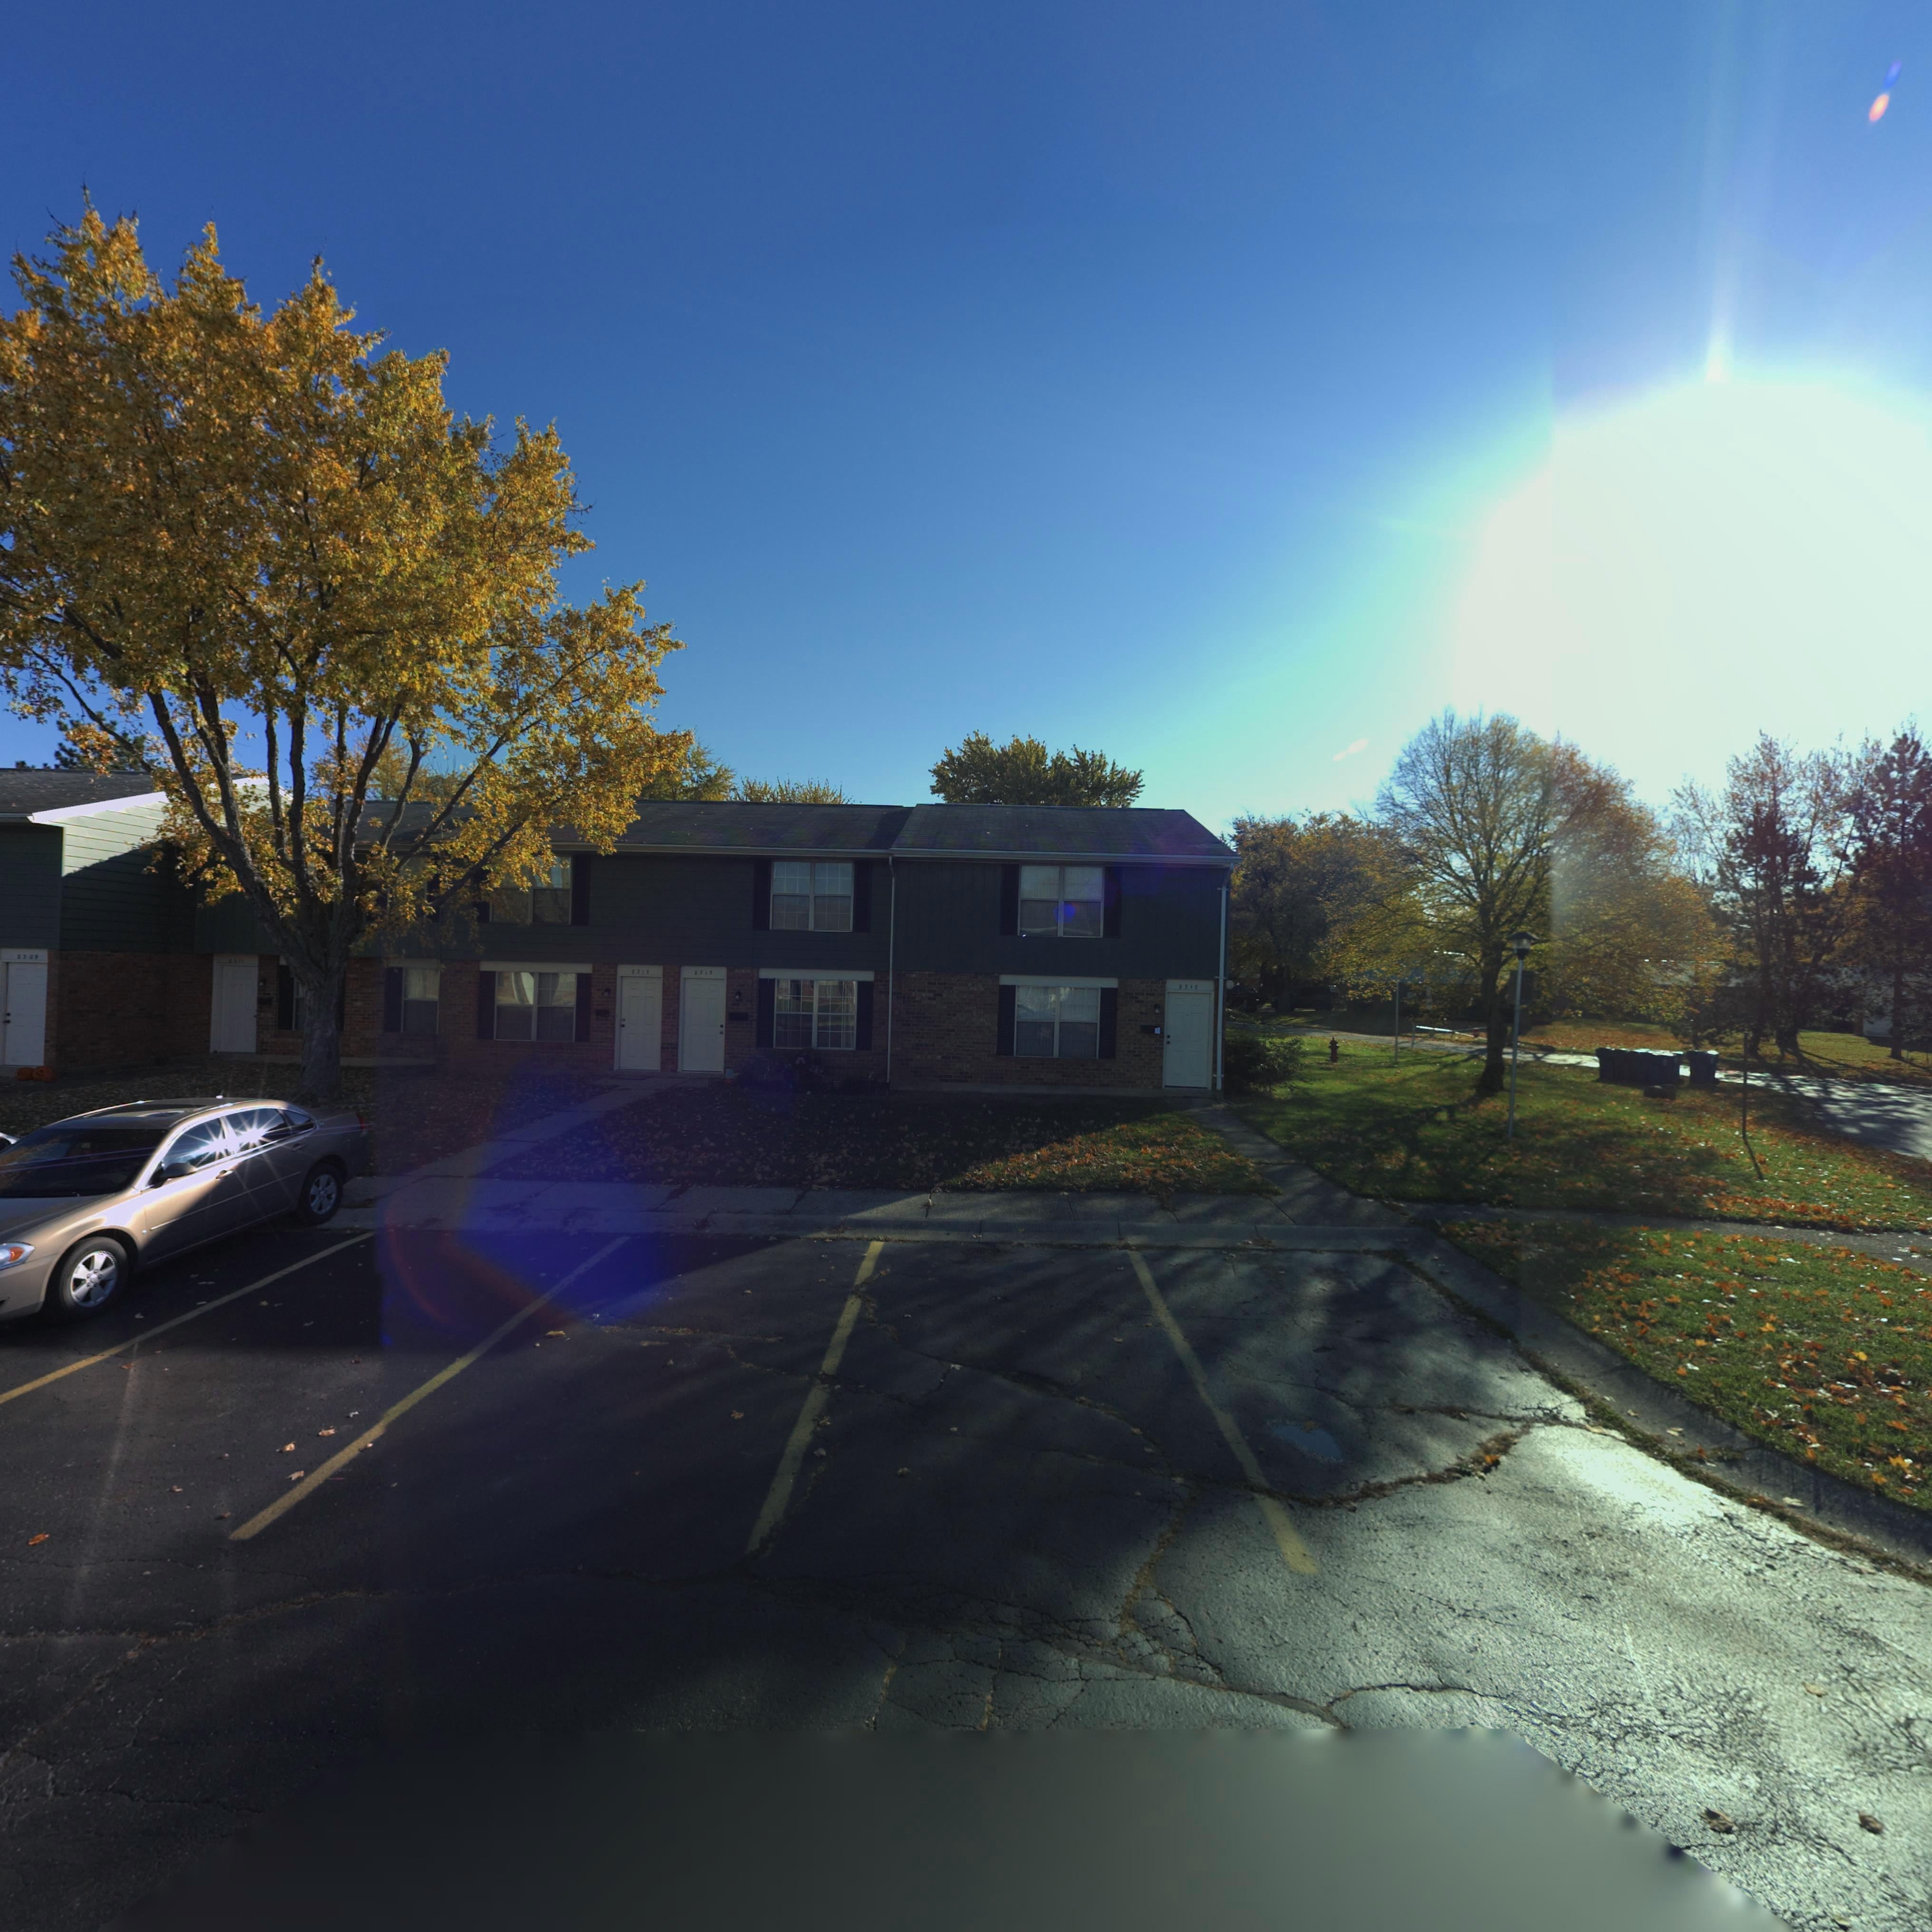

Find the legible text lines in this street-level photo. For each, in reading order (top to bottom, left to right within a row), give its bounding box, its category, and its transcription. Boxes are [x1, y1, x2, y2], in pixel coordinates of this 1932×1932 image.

[16, 953, 39, 960] StreetNumber: 8309
[228, 957, 244, 964] StreetNumber: 8311
[630, 969, 650, 975] StreetNumber: 83313
[694, 969, 714, 976] StreetNumber: 8315
[1178, 984, 1199, 990] StreetNumber: 8317